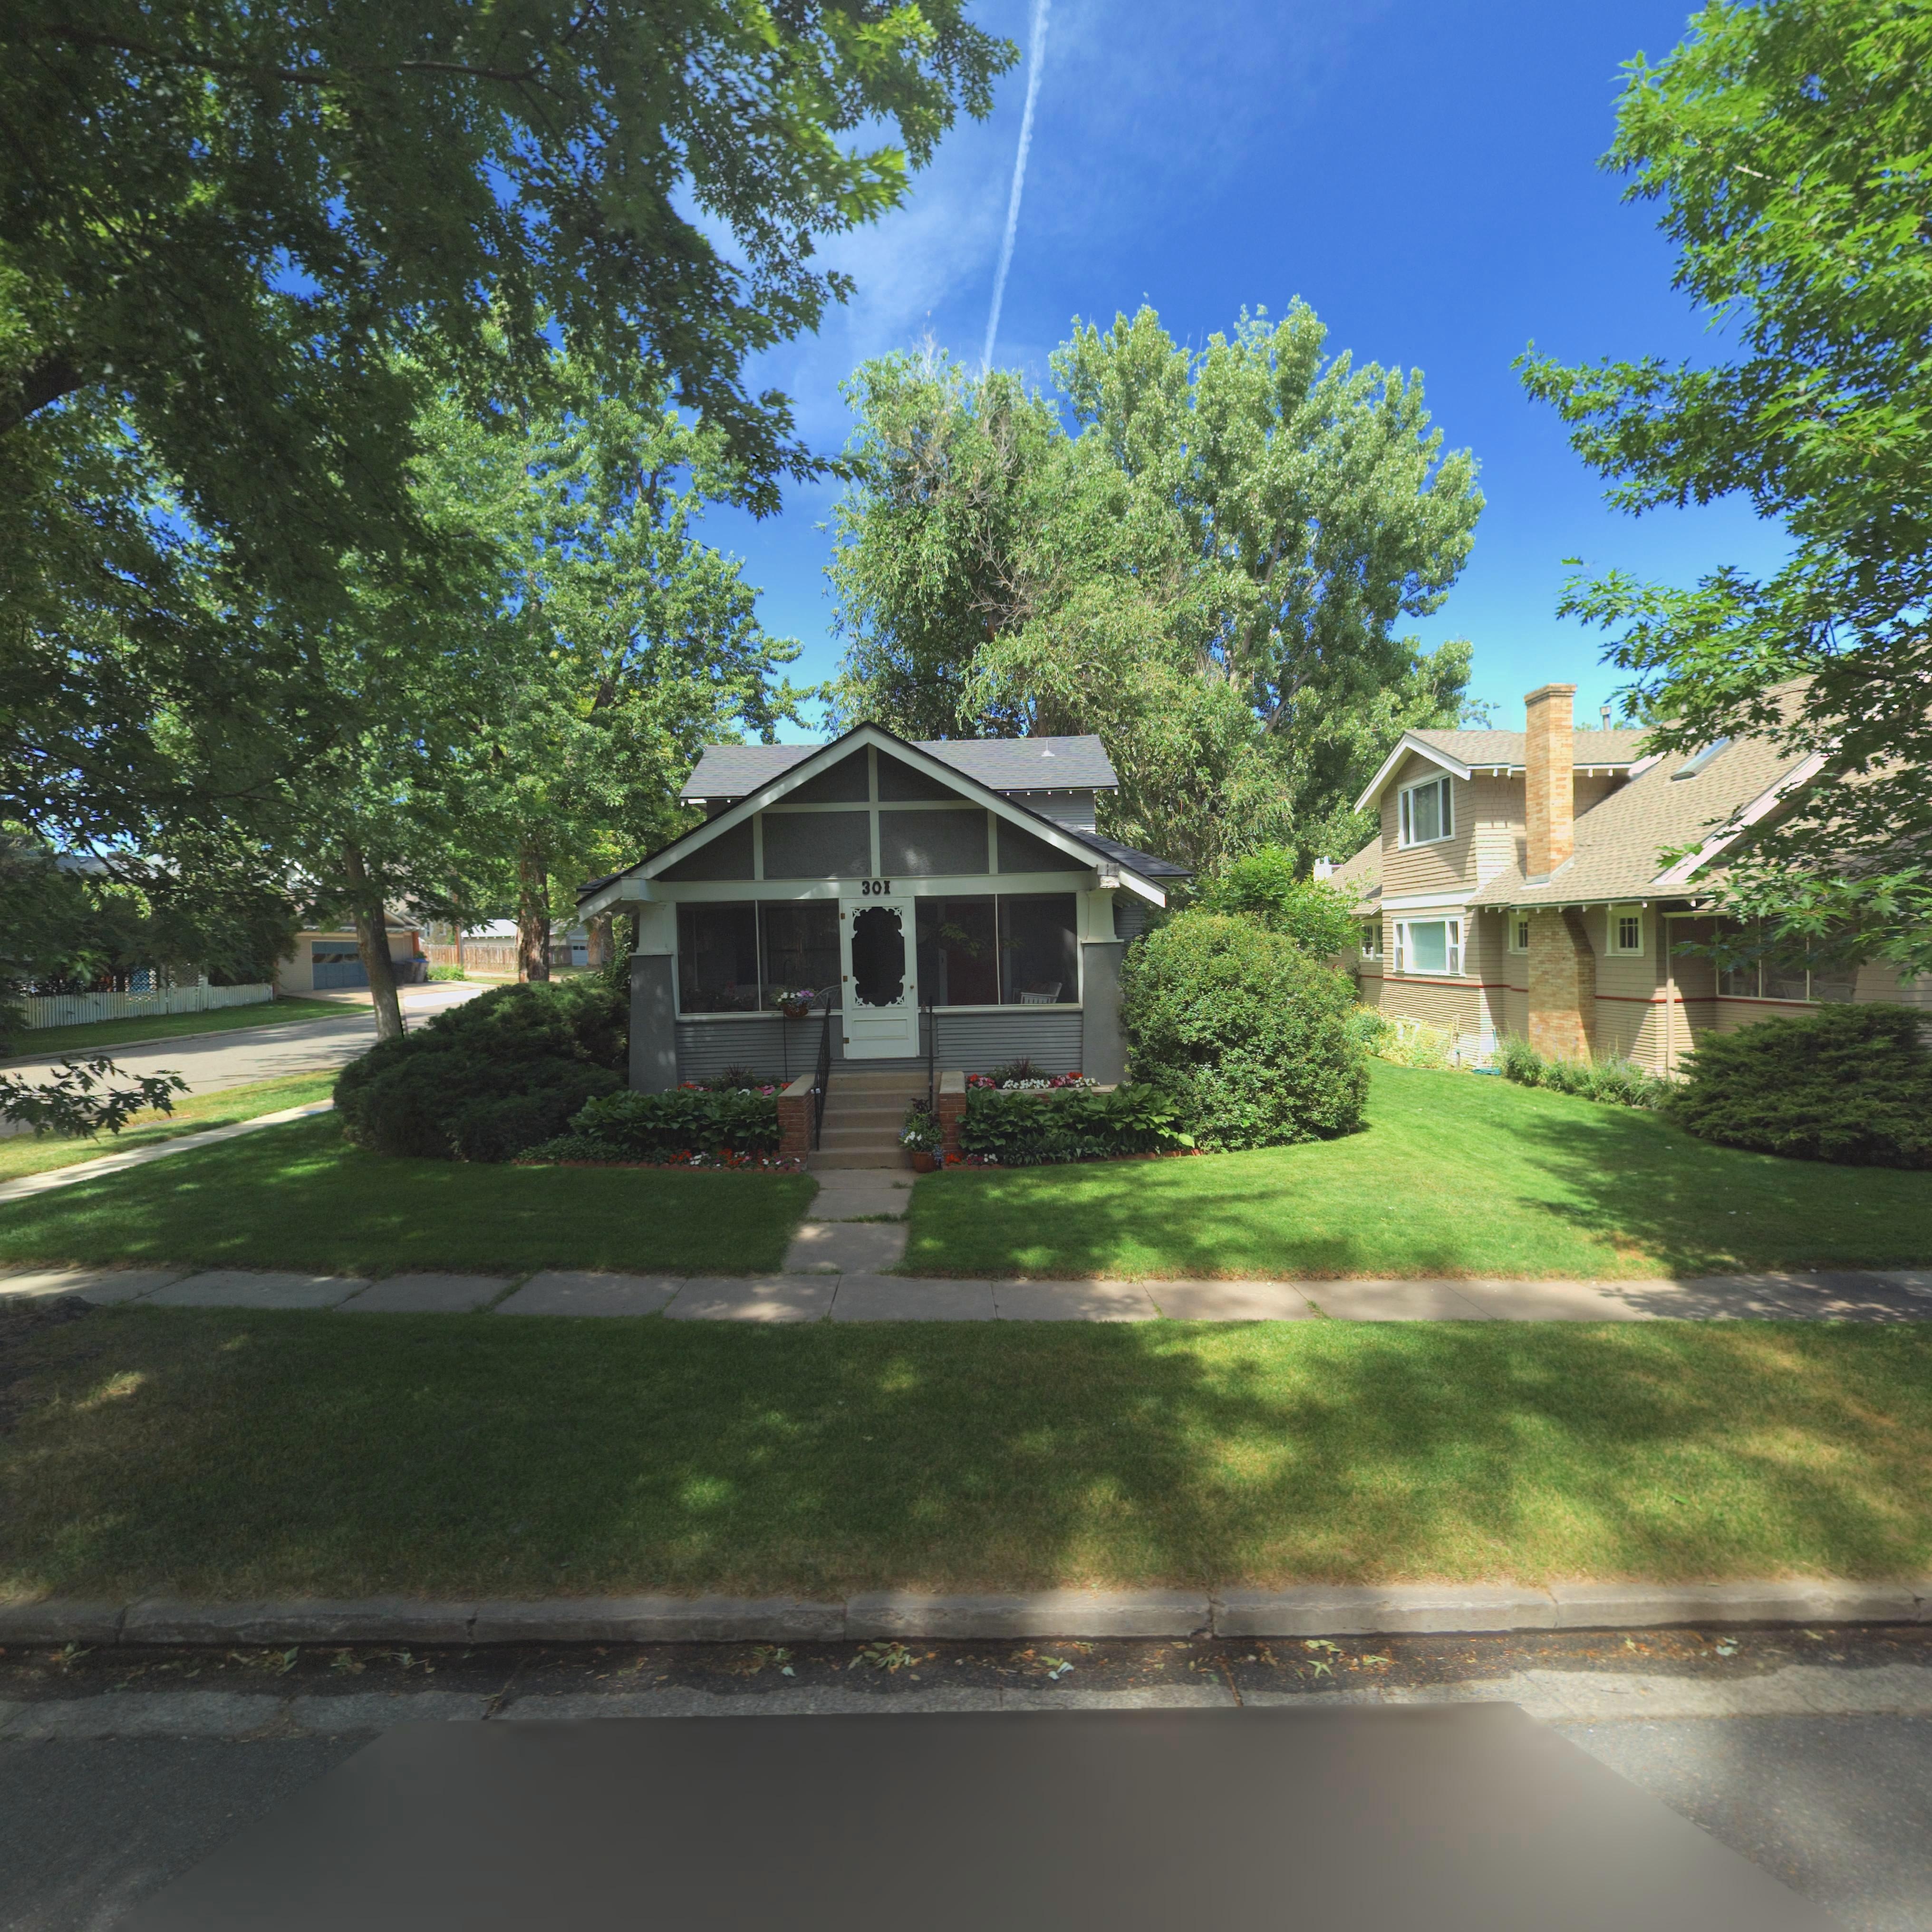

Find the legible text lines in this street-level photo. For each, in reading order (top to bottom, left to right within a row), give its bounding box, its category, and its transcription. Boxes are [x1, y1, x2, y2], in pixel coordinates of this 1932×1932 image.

[862, 880, 890, 895] StreetNumber: 30I